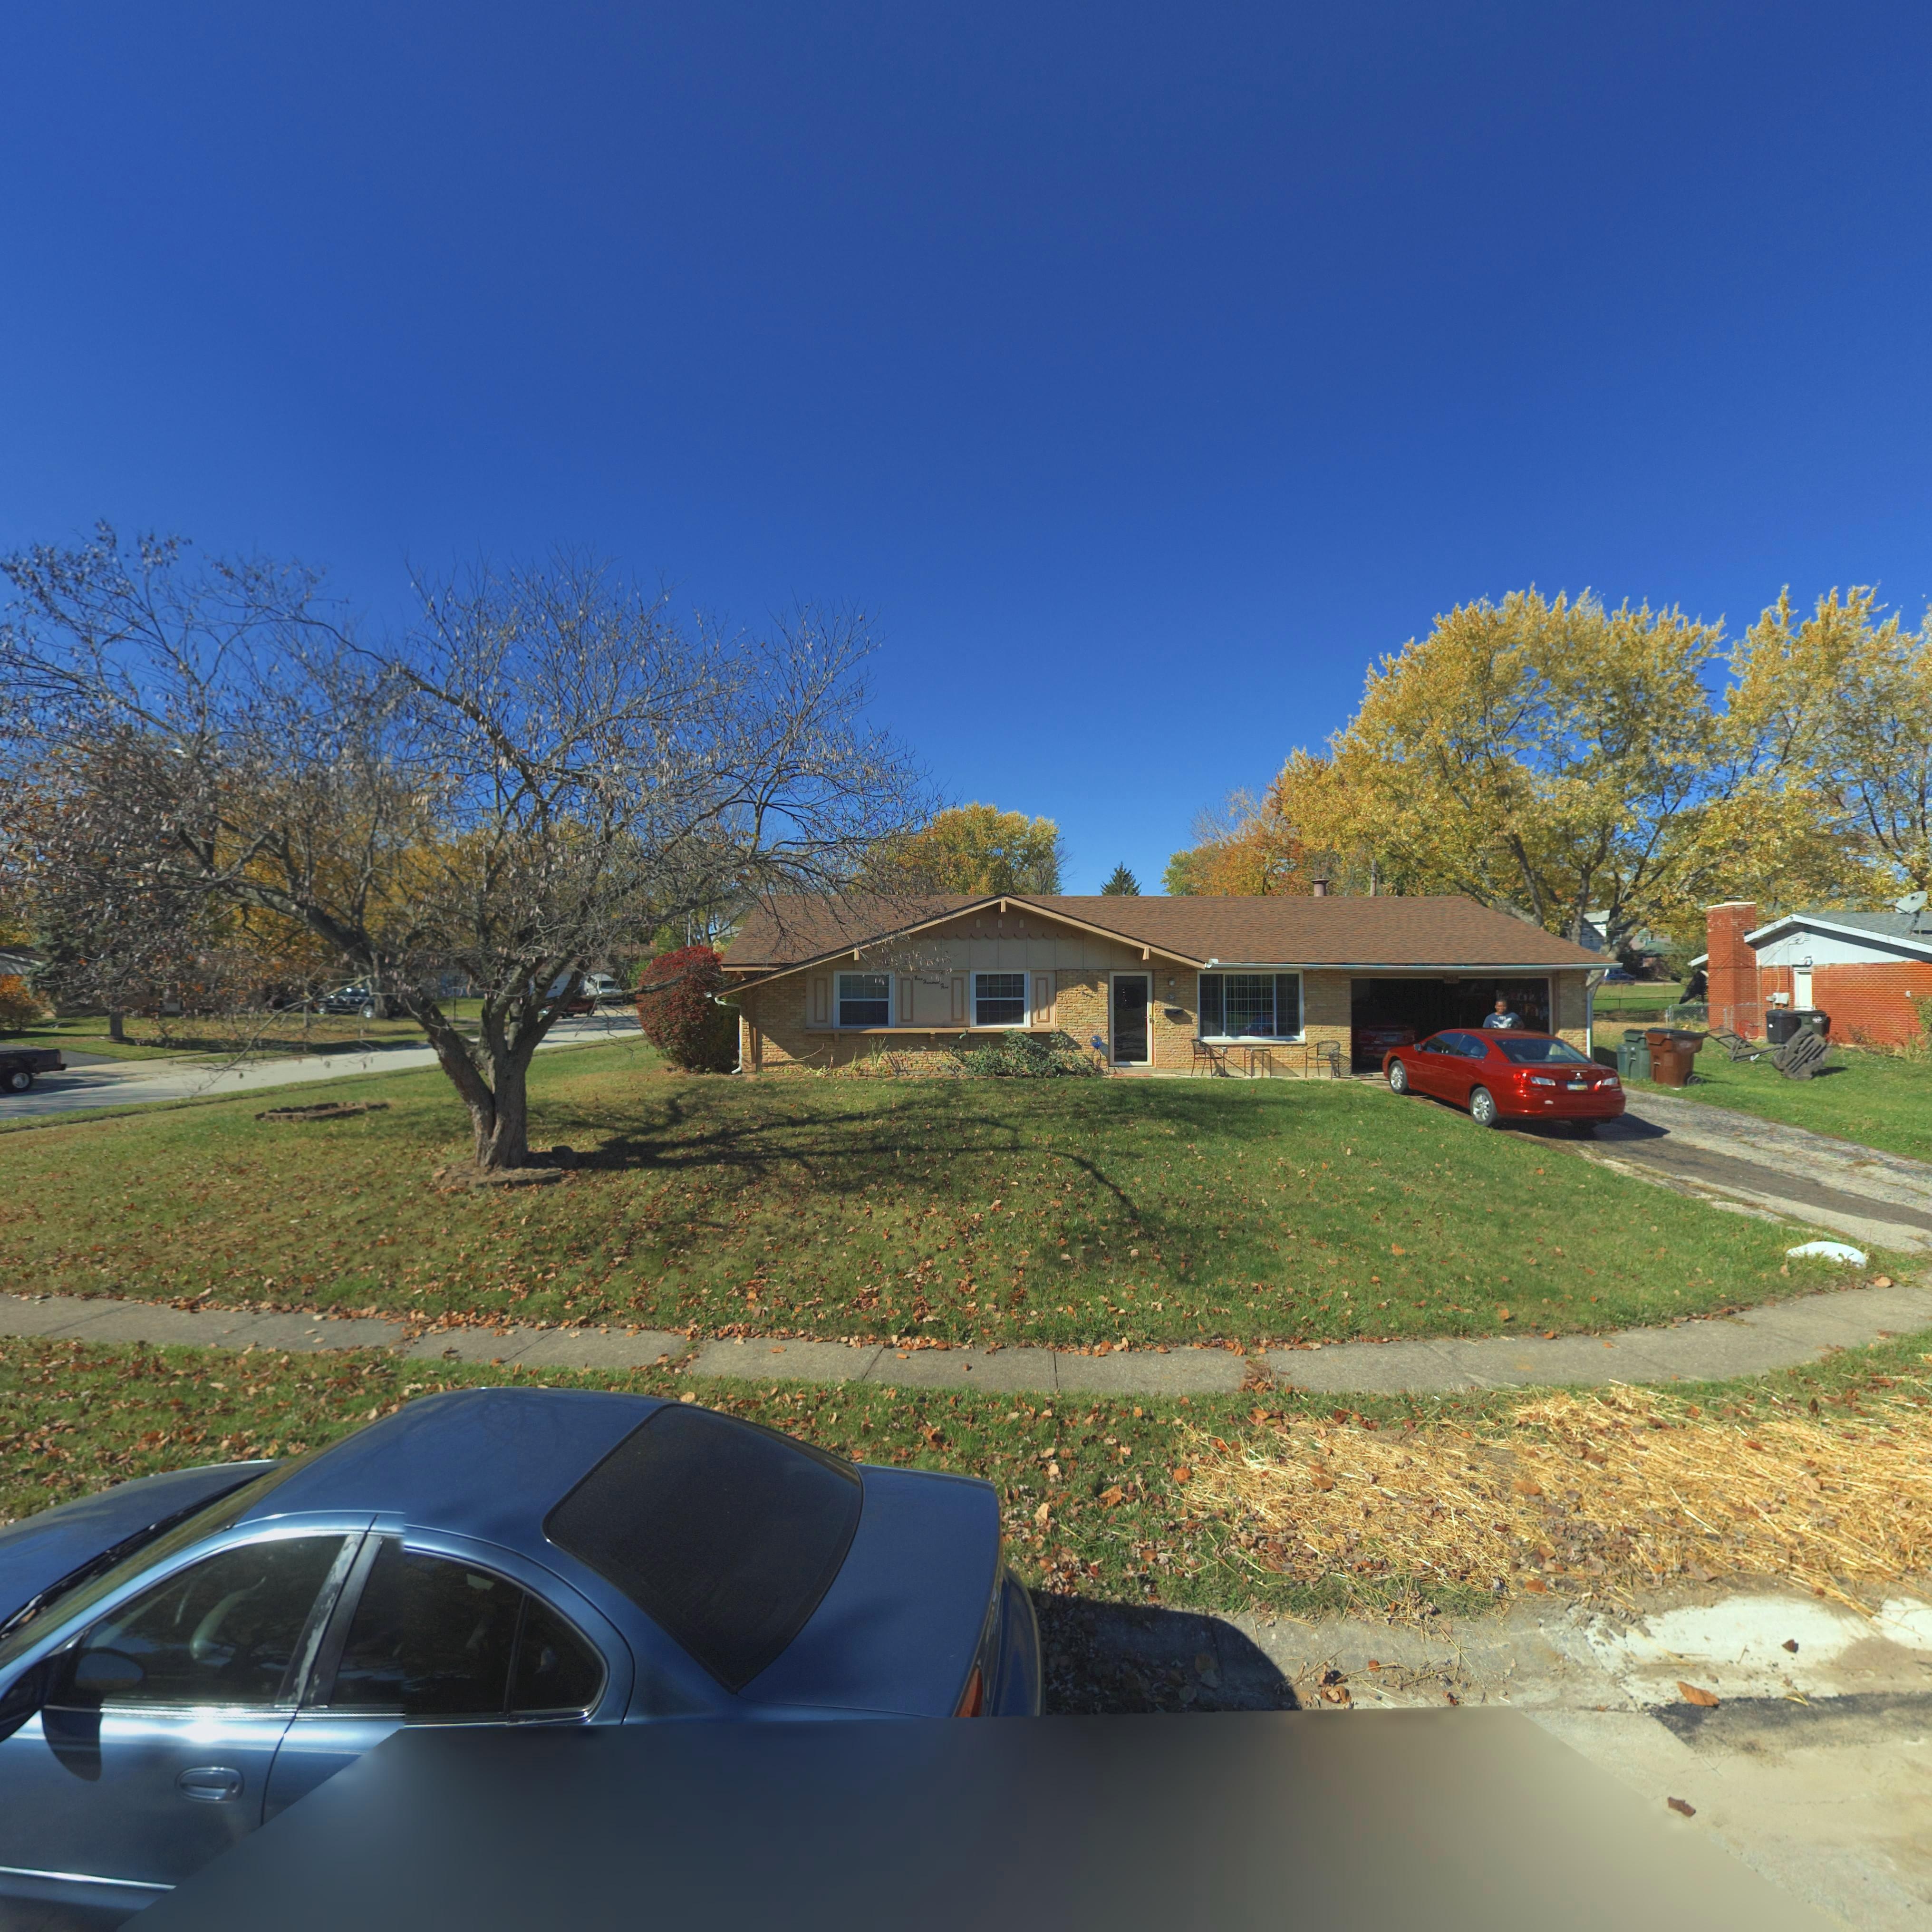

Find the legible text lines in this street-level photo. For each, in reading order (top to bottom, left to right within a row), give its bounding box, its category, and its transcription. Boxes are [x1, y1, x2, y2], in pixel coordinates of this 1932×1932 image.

[1443, 976, 1459, 983] StreetNumber: 905
[939, 983, 949, 990] StreetNumber: Fi*e